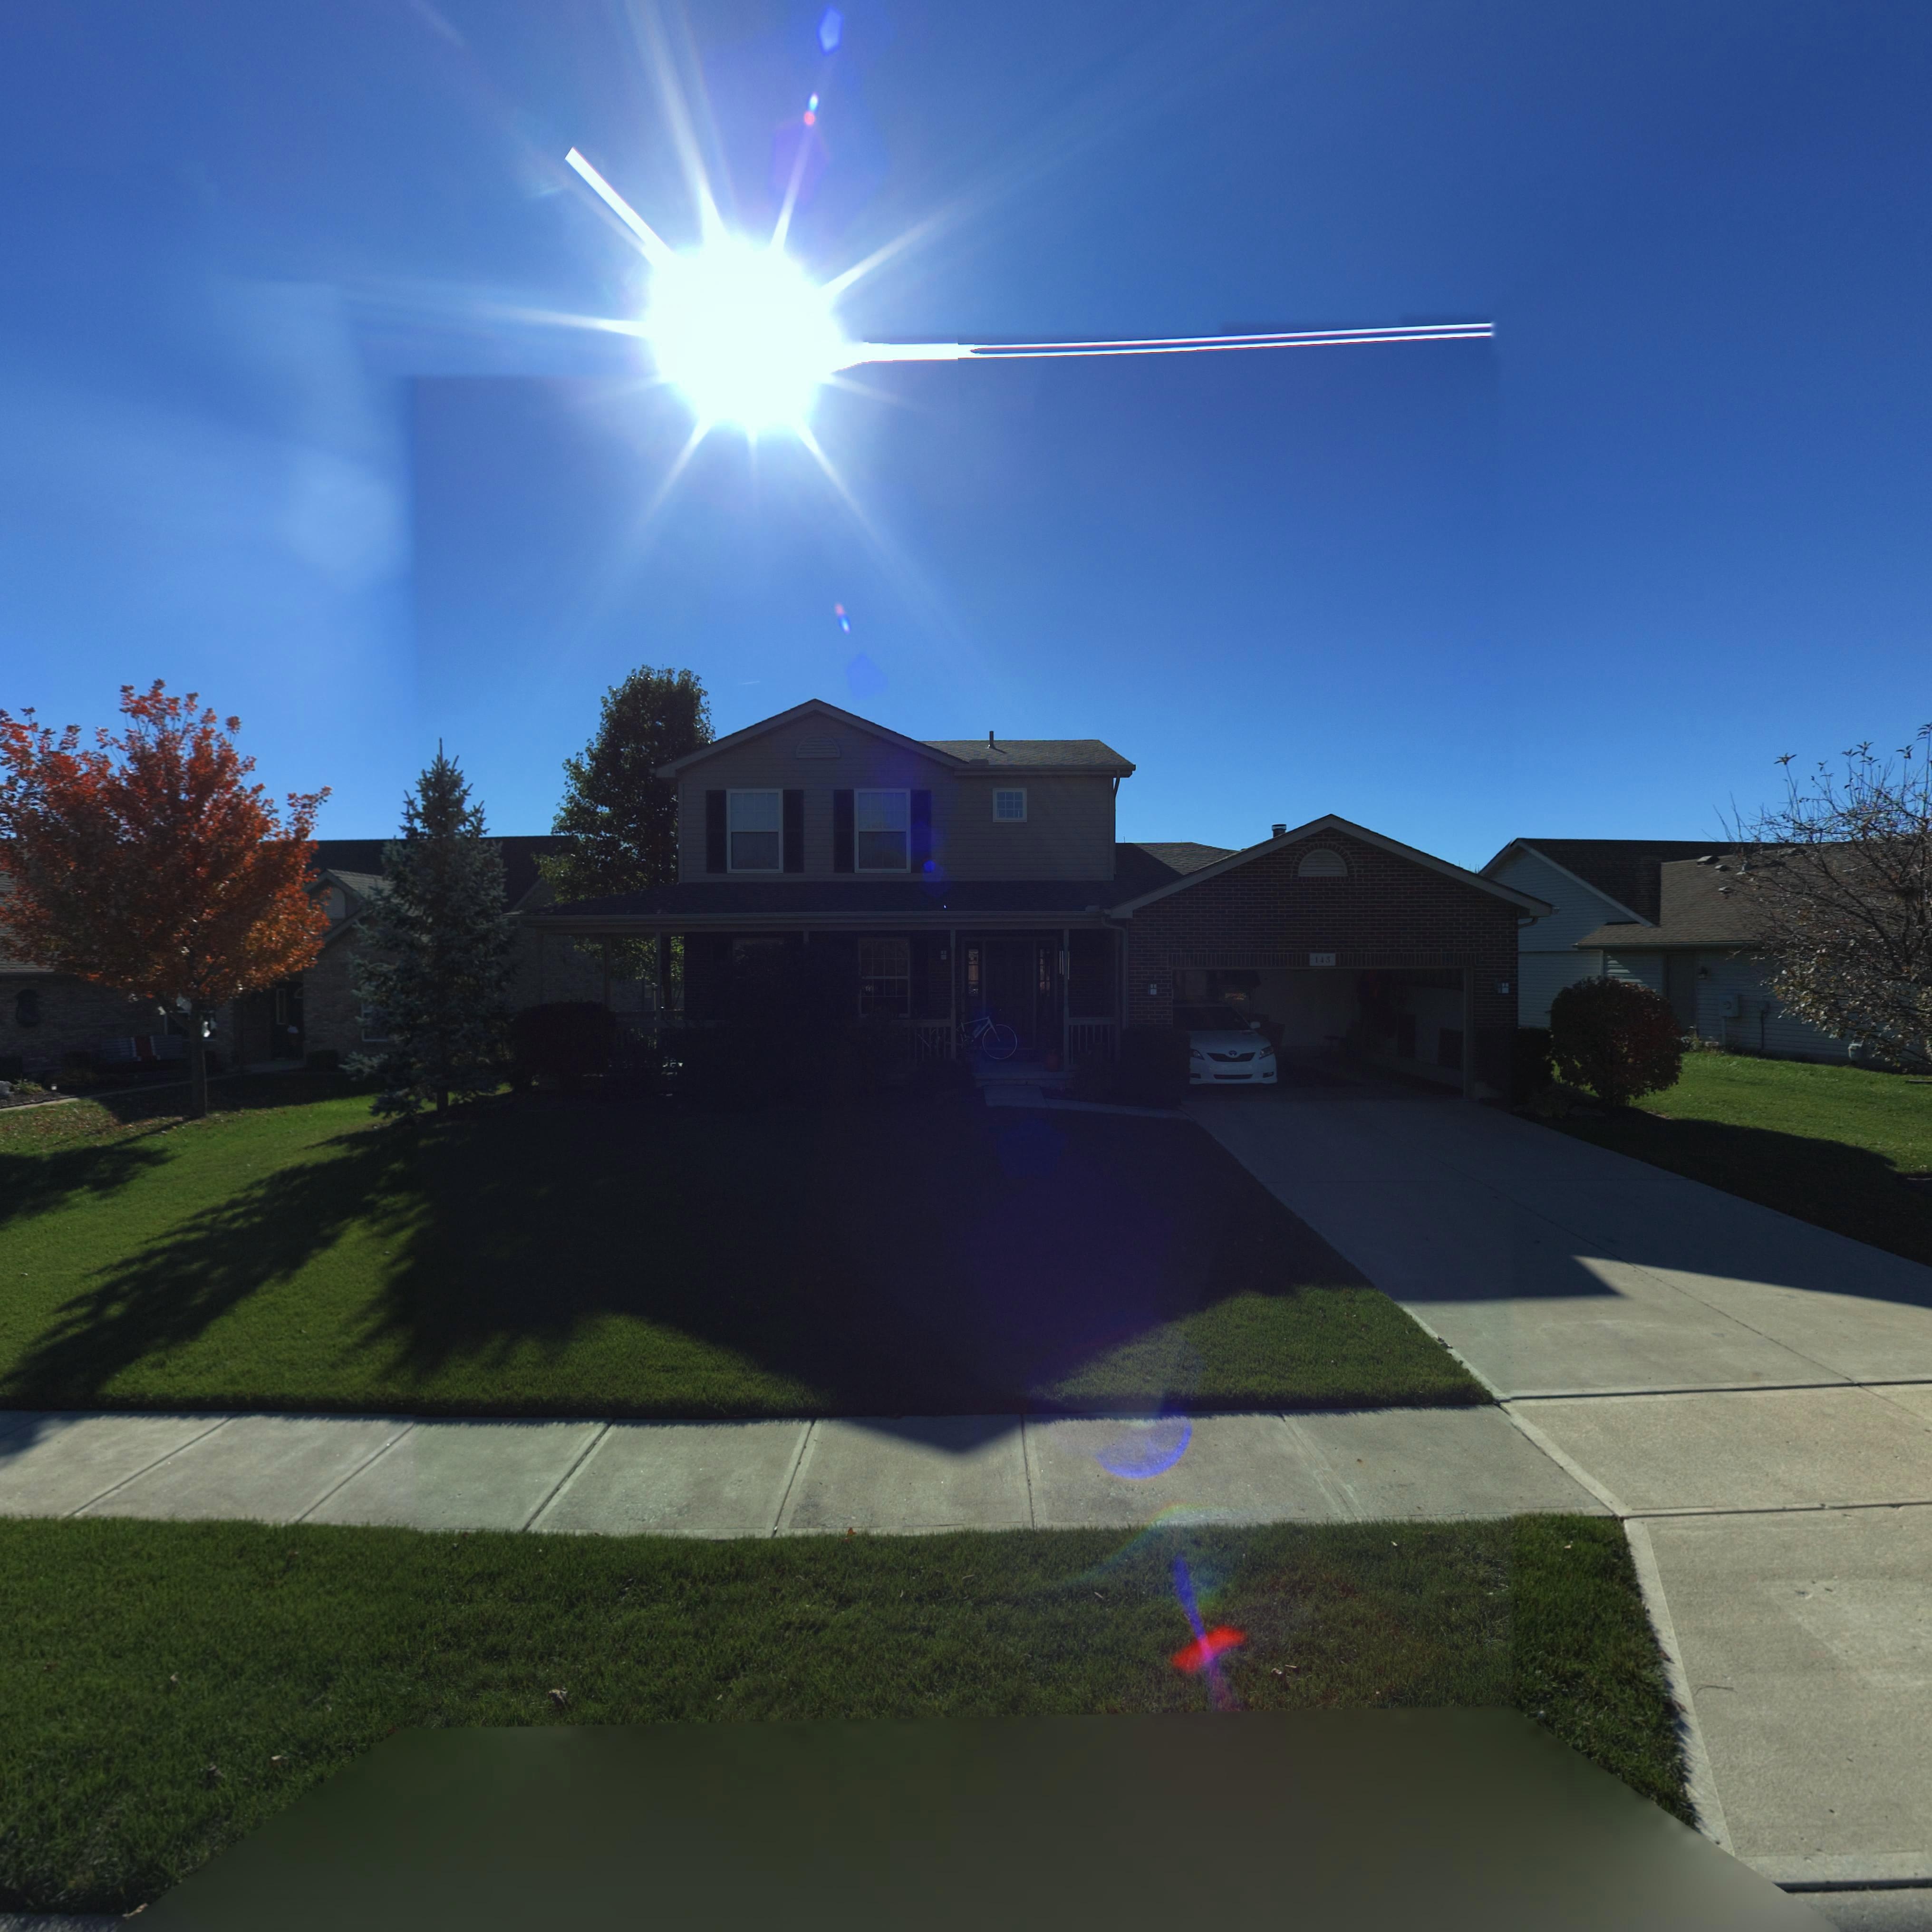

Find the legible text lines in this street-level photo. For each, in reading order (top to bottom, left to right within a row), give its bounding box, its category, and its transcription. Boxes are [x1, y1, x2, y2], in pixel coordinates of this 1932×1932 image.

[1315, 956, 1330, 964] StreetNumber: 143